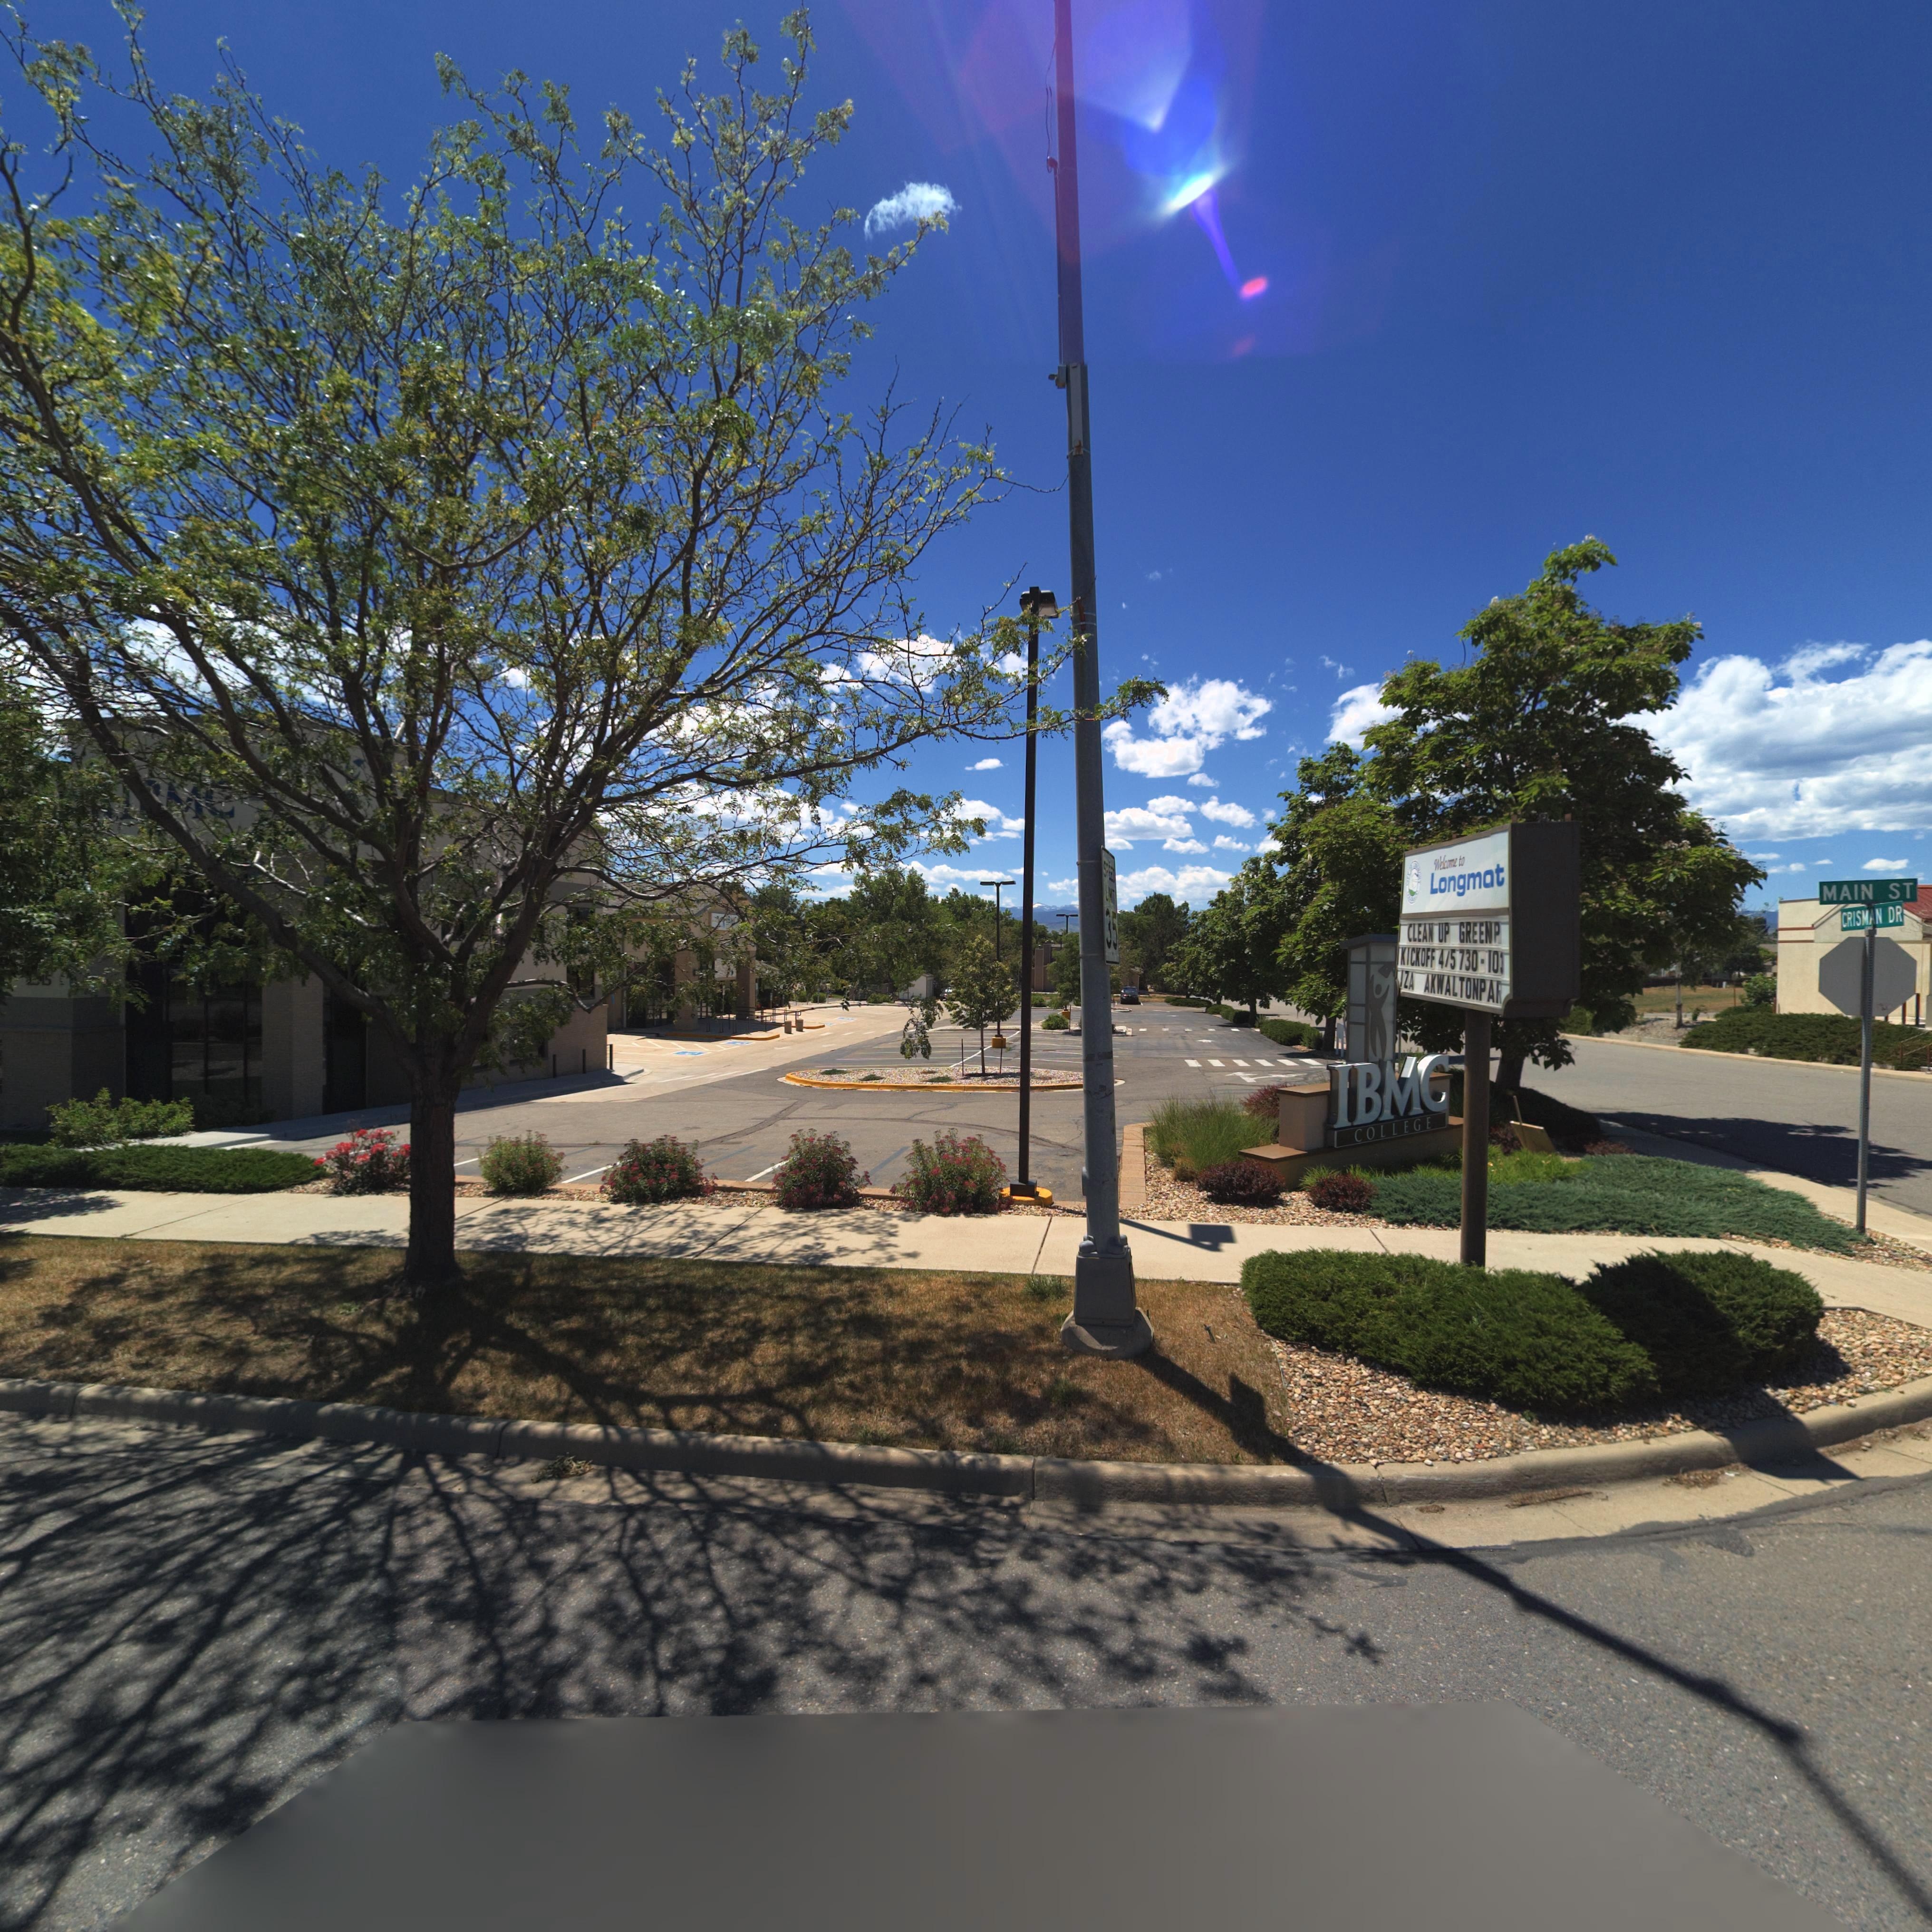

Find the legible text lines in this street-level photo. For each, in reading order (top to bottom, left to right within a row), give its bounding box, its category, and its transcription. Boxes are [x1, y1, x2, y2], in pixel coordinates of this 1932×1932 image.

[1822, 882, 1913, 901] StreetName: MAIN ST
[726, 915, 737, 924] BusinessName: *B**
[1841, 905, 1903, 928] StreetName: CRISMAN DR
[26, 973, 52, 985] StreetNumber: ***5
[1332, 1053, 1449, 1130] BusinessName: IBMC
[1354, 1116, 1431, 1142] BusinessName: COLLEGE